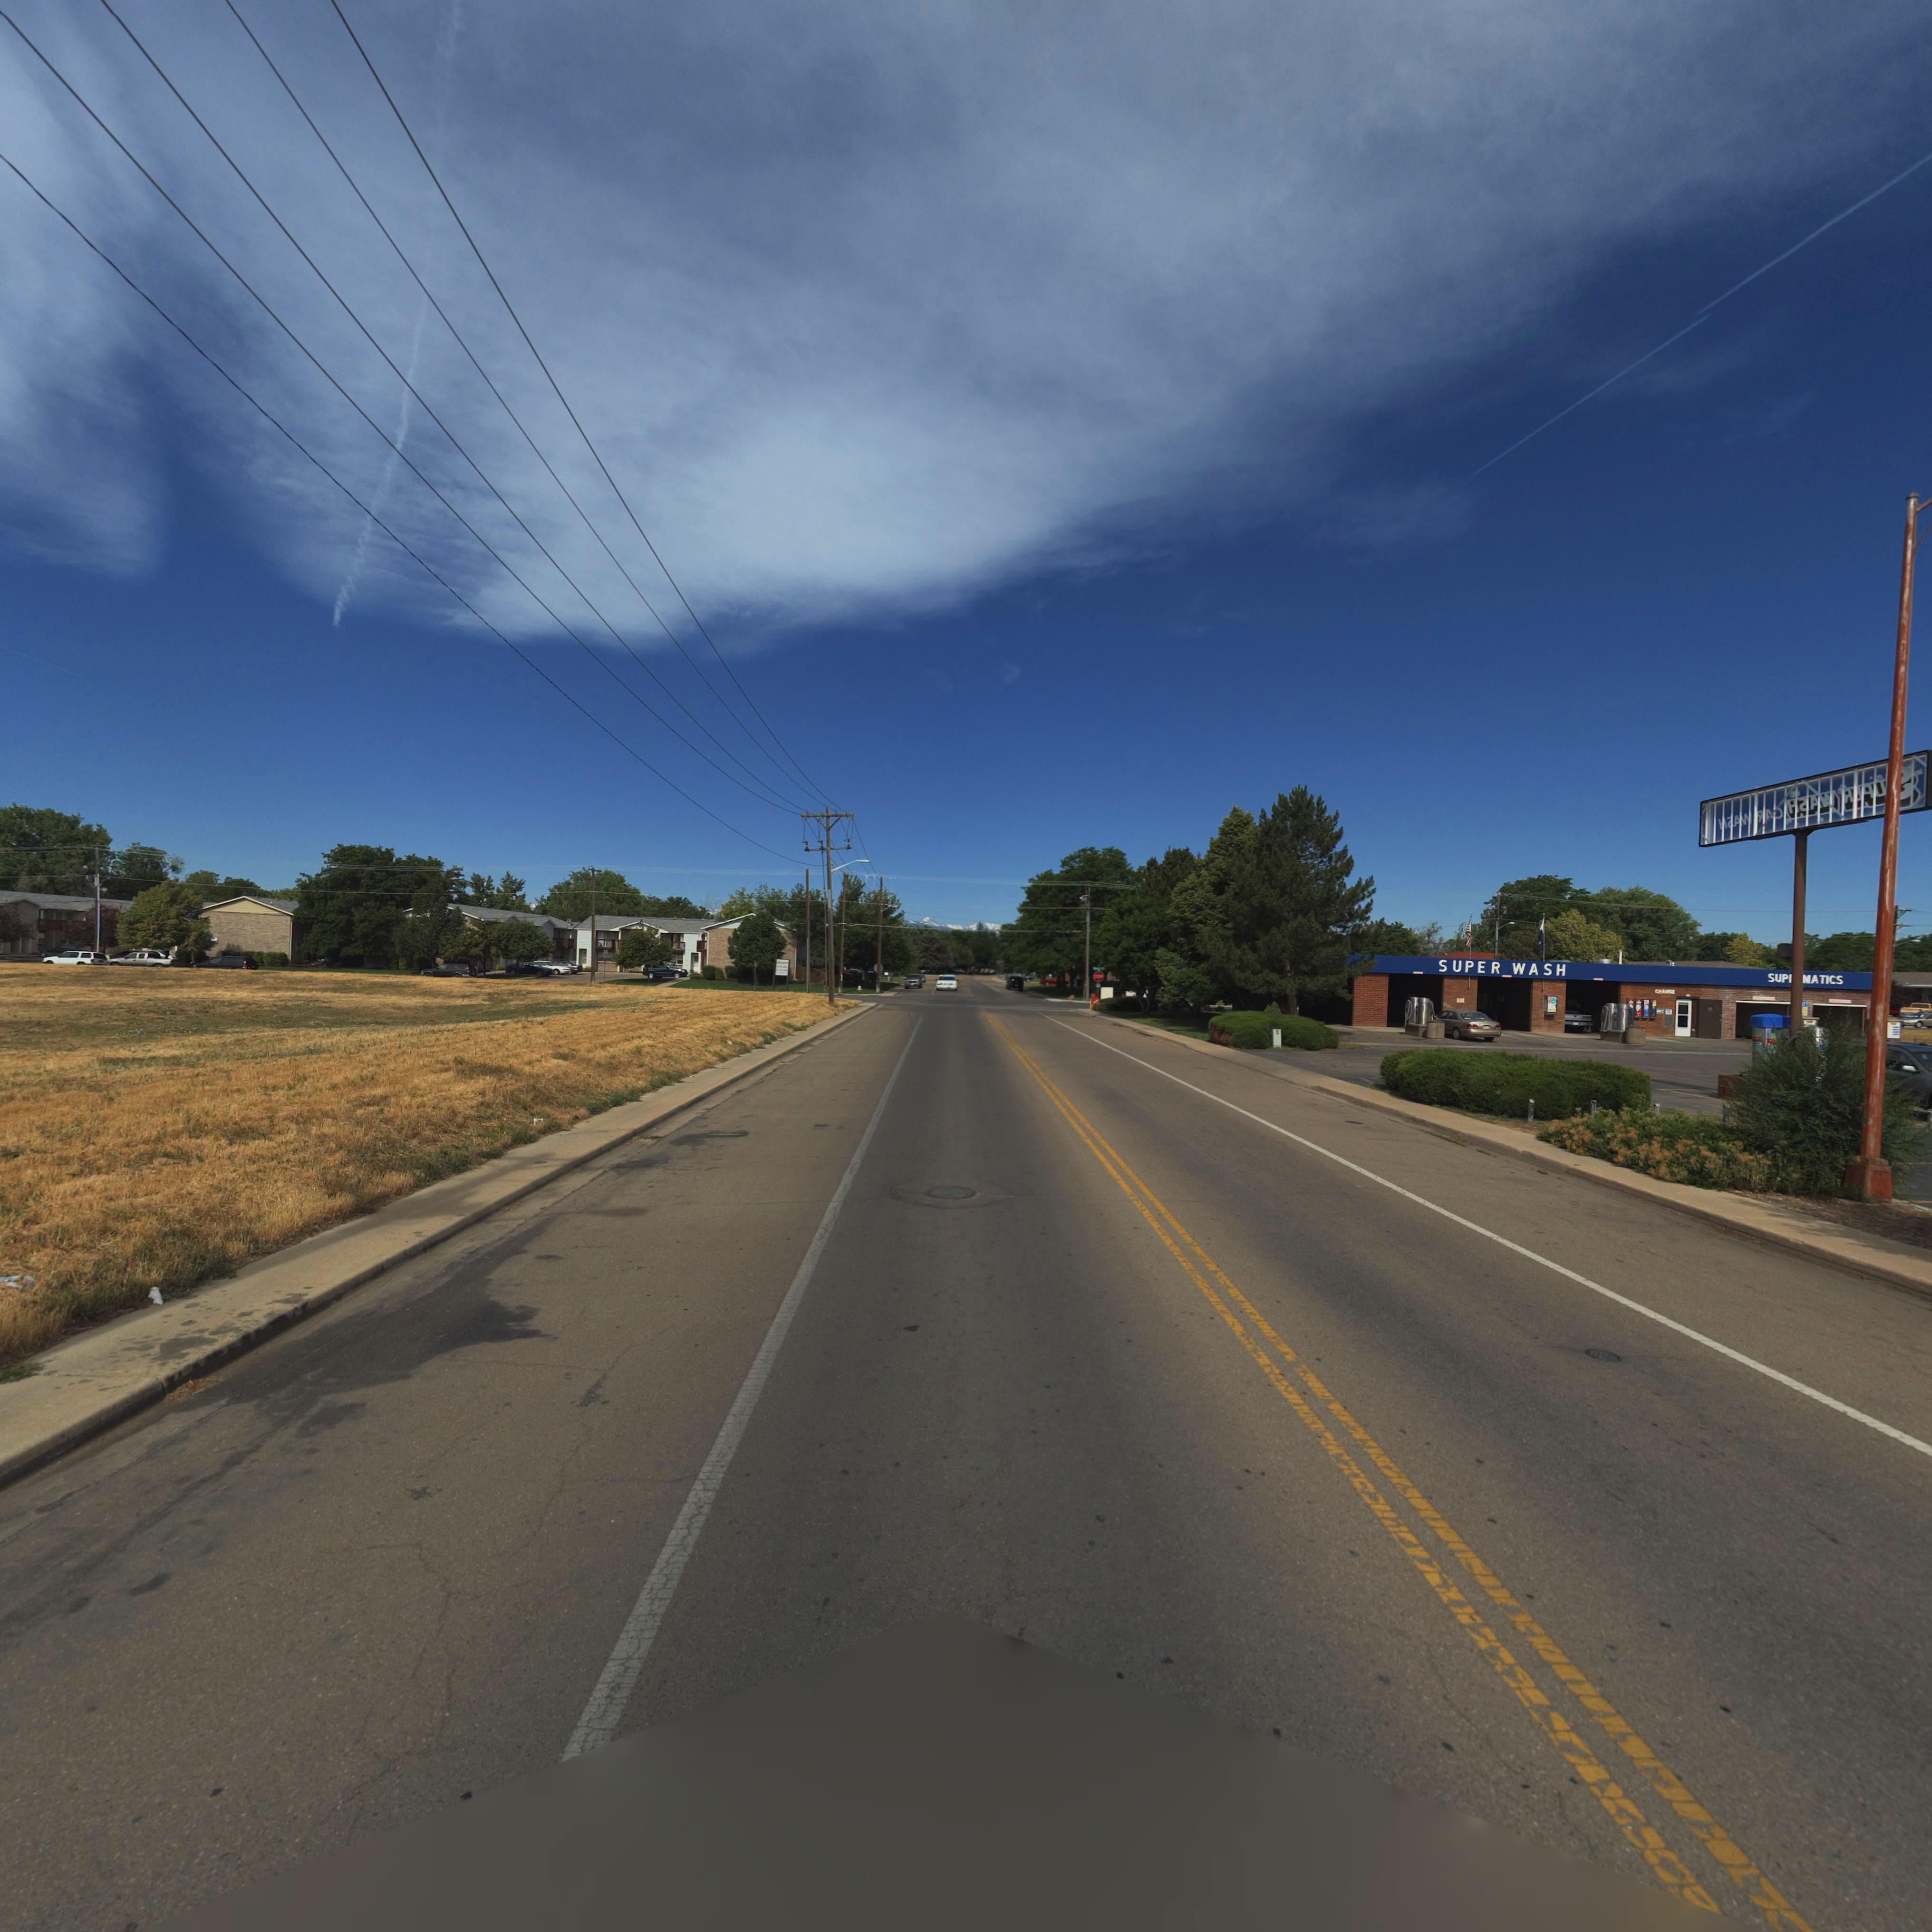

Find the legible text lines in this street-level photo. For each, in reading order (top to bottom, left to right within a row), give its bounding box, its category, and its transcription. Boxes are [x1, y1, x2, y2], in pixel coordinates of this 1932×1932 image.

[1786, 765, 1914, 814] BusinessName: H*** ***U*
[1717, 806, 1783, 830] BusinessName: **A* ***
[1438, 959, 1566, 977] BusinessName: SUPER WASH